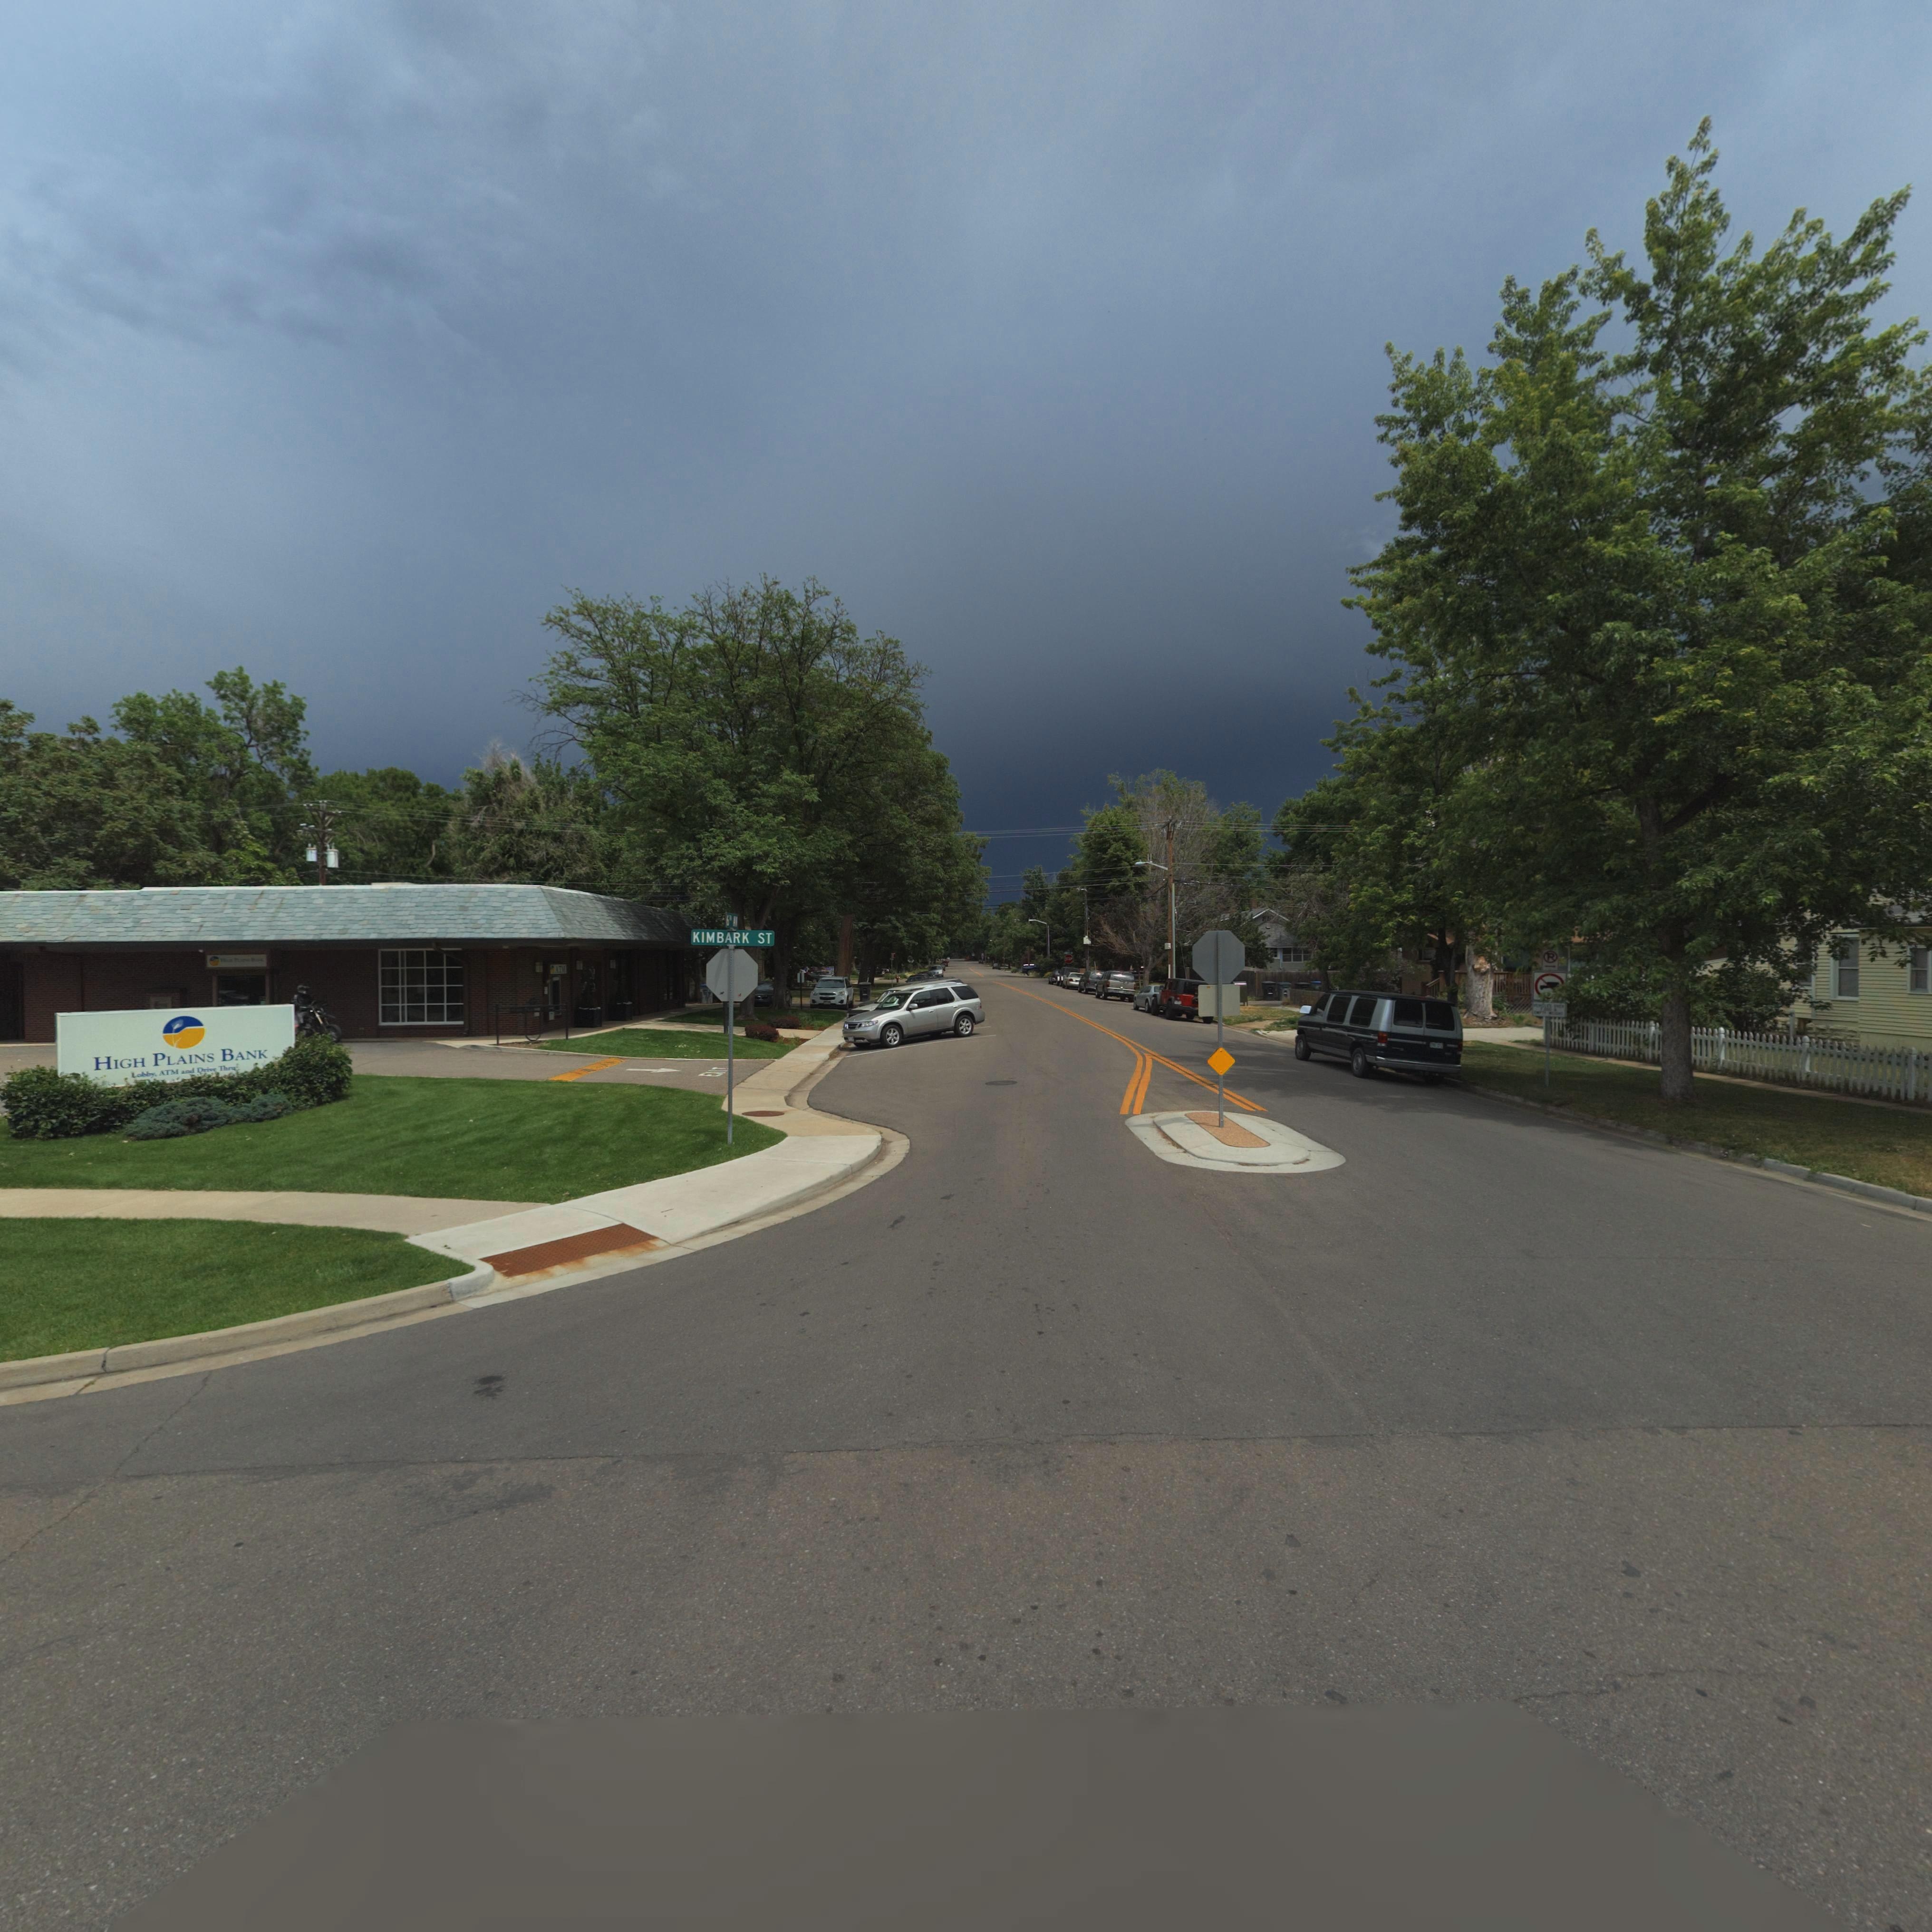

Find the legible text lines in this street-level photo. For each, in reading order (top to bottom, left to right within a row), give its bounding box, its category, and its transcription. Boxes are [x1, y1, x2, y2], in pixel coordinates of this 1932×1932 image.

[726, 914, 738, 927] StreetName: 6** AV
[693, 931, 773, 944] StreetName: KIMBARK ST
[220, 957, 264, 963] BusinessName: H*** PL**** BANK
[92, 1047, 269, 1071] BusinessName: HIGH PLAINS BANK